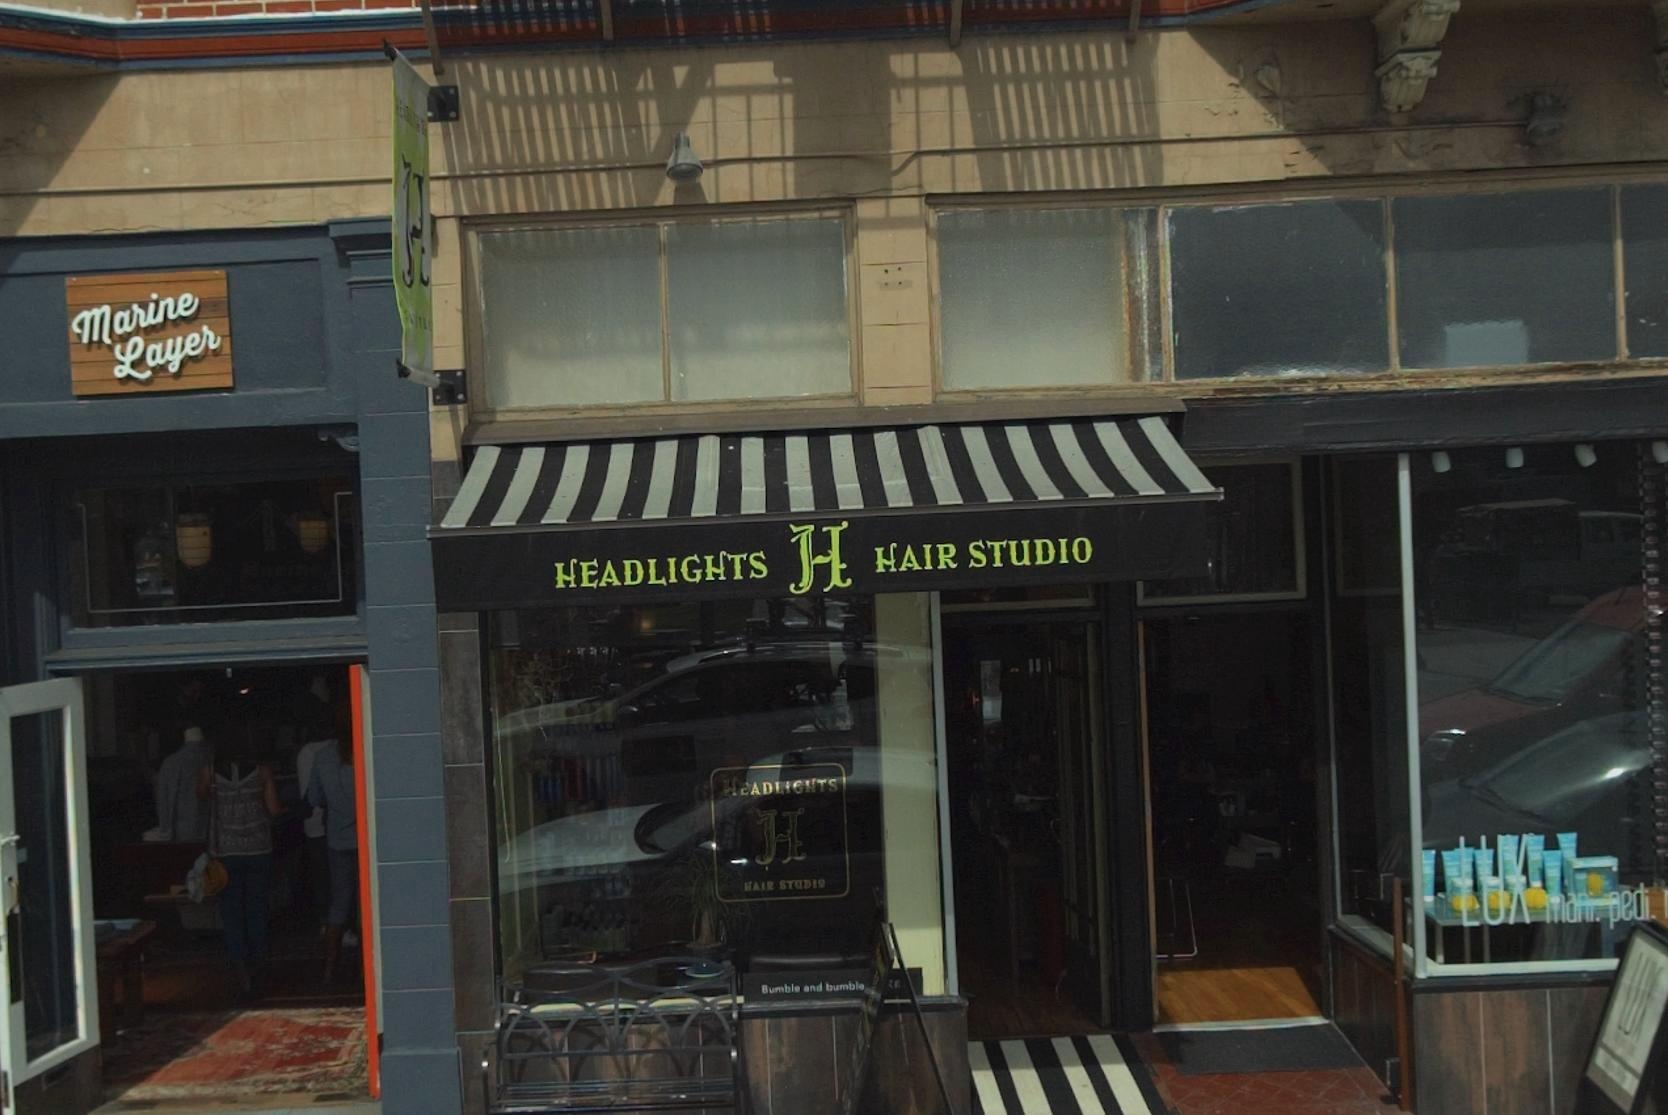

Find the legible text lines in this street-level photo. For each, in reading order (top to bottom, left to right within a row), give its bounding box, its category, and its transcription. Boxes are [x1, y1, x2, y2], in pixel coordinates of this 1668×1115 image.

[67, 290, 205, 348] BusinessName: Marine
[109, 320, 222, 384] BusinessName: Layer
[551, 546, 773, 594] BusinessName: HEADLIGHTS
[784, 518, 854, 597] None: H
[870, 534, 1096, 575] BusinessName: HAIR STUDIO
[720, 772, 841, 800] BusinessName: HEADLIGHTS
[750, 804, 809, 869] None: H
[740, 875, 828, 894] BusinessName: HAIR STUDIO
[1449, 829, 1538, 932] None: LUX
[1538, 879, 1662, 934] None: mani. pedi.
[758, 978, 867, 995] None: Bumble and bumble